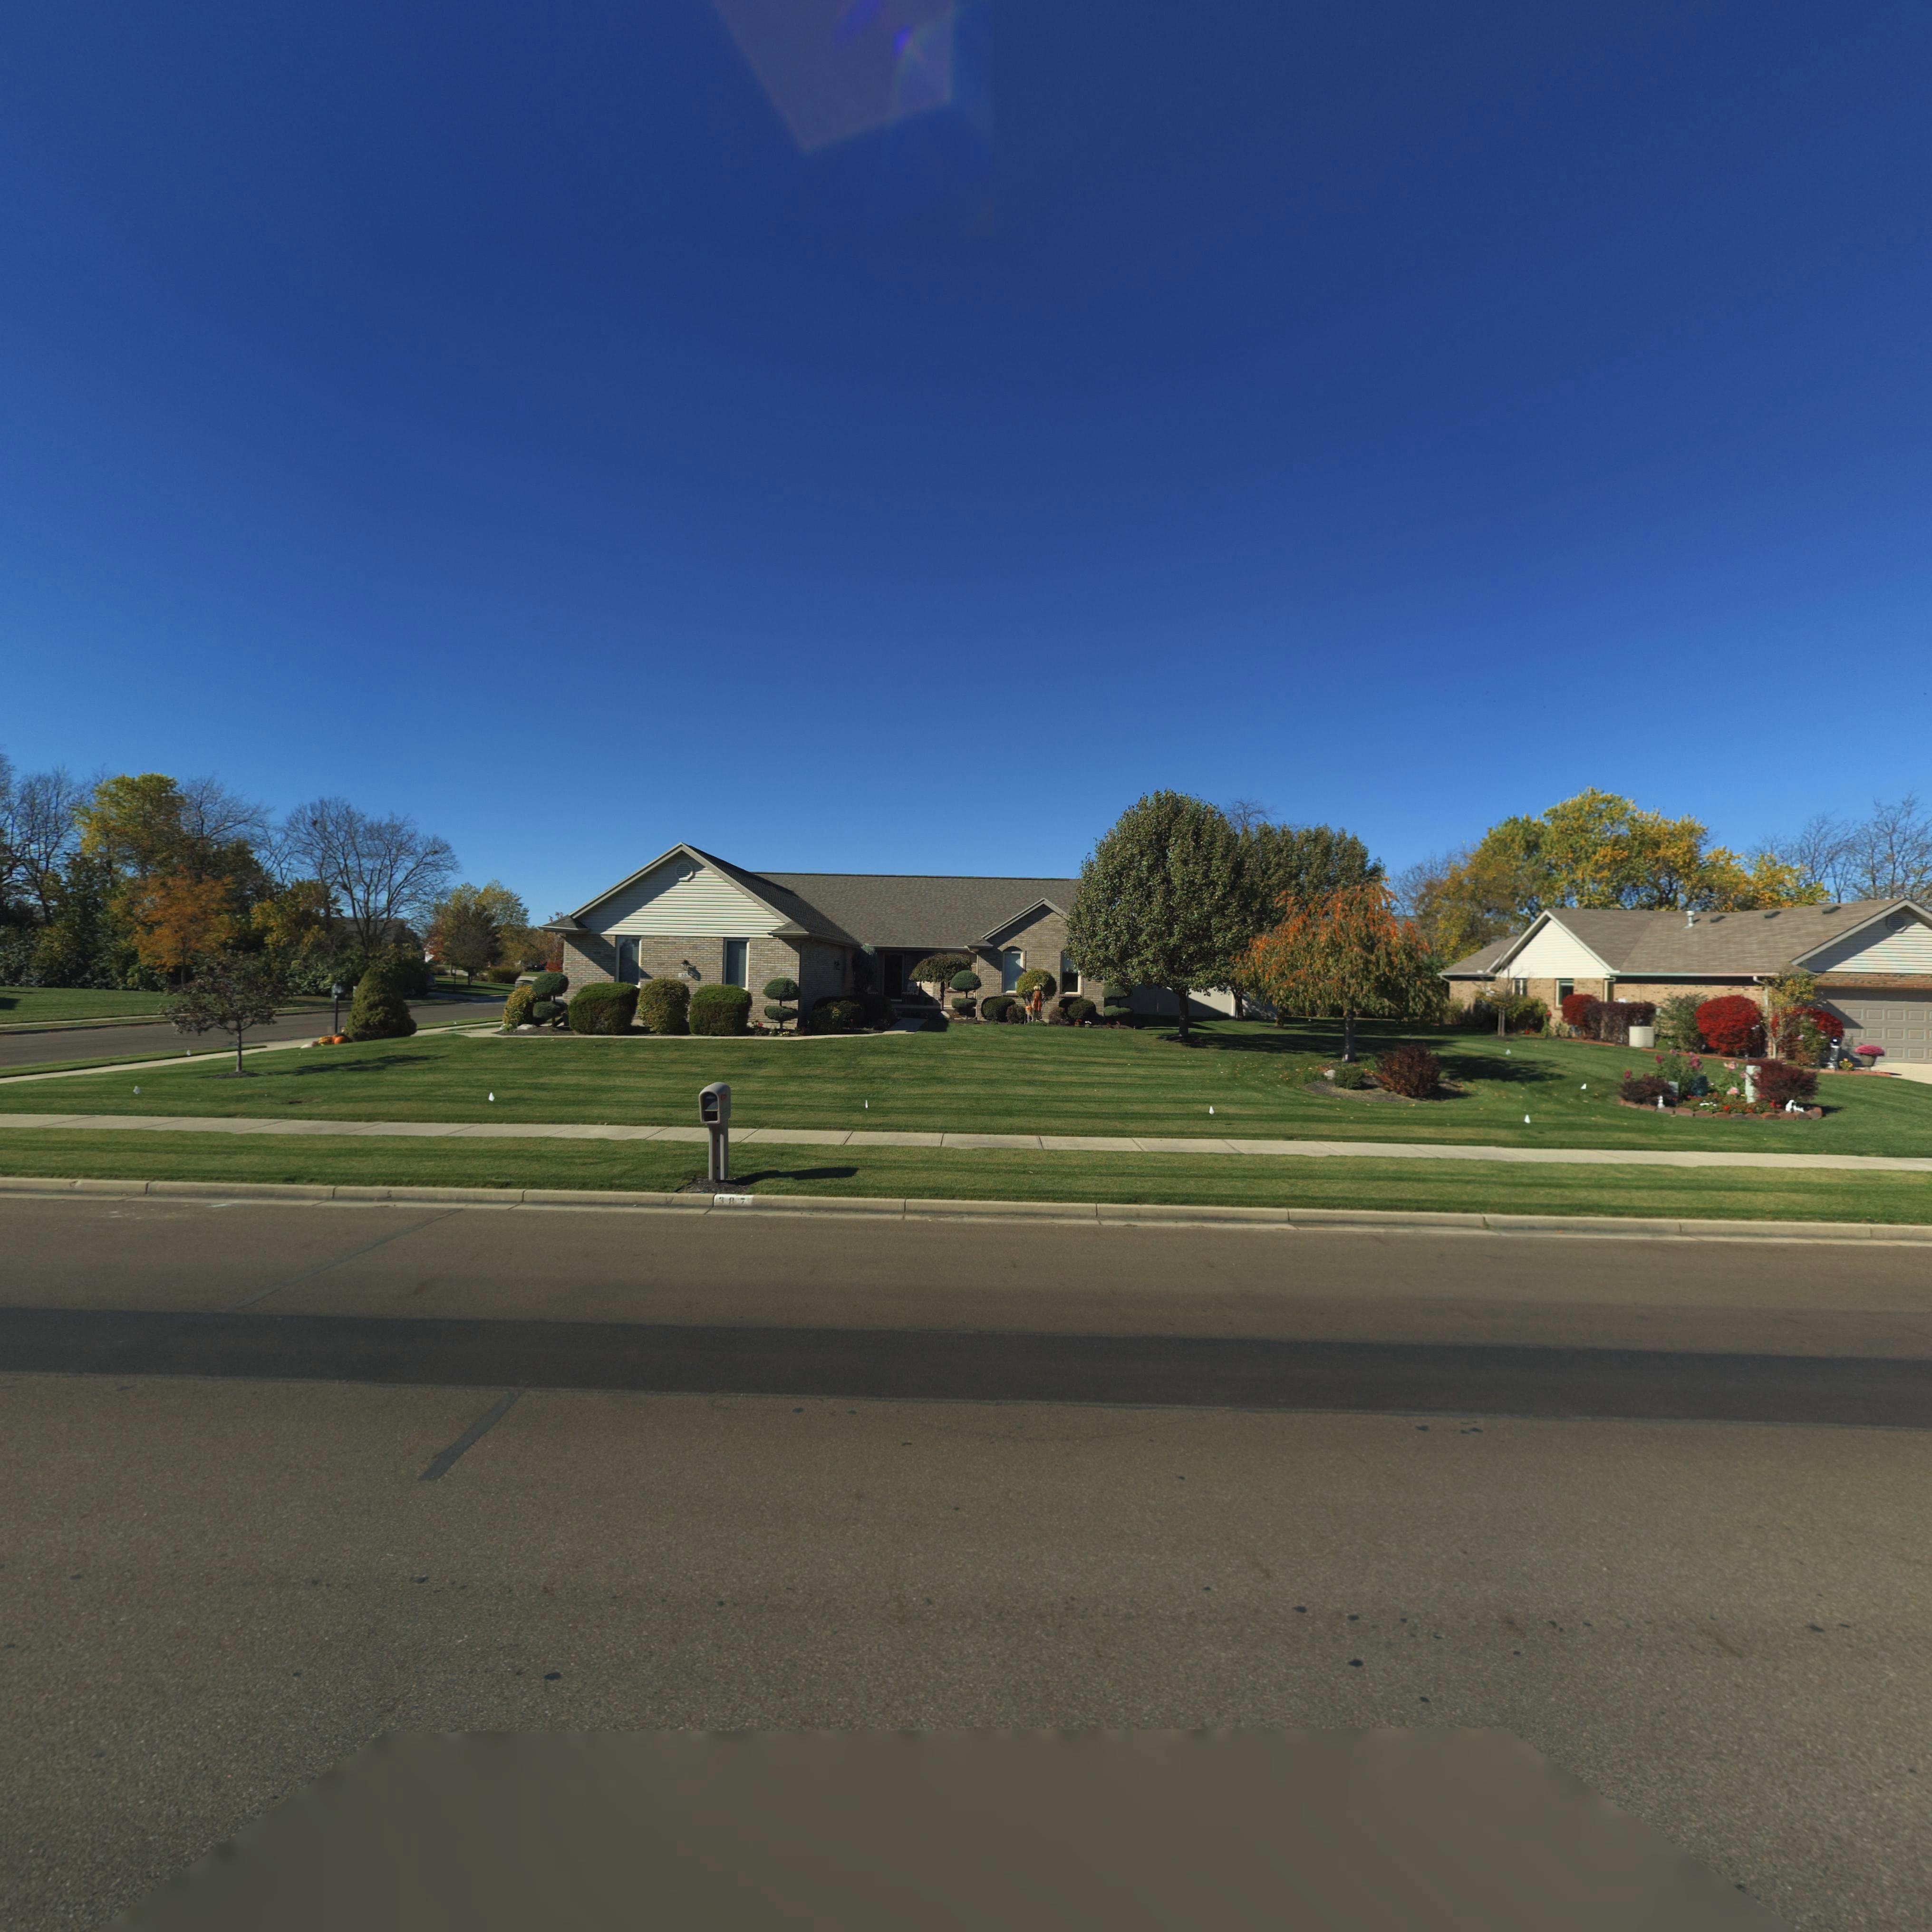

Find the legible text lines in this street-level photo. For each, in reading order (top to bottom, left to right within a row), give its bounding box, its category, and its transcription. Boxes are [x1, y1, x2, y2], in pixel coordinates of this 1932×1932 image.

[680, 973, 691, 977] StreetNumber: 38*
[718, 1196, 746, 1206] StreetNumber: 387